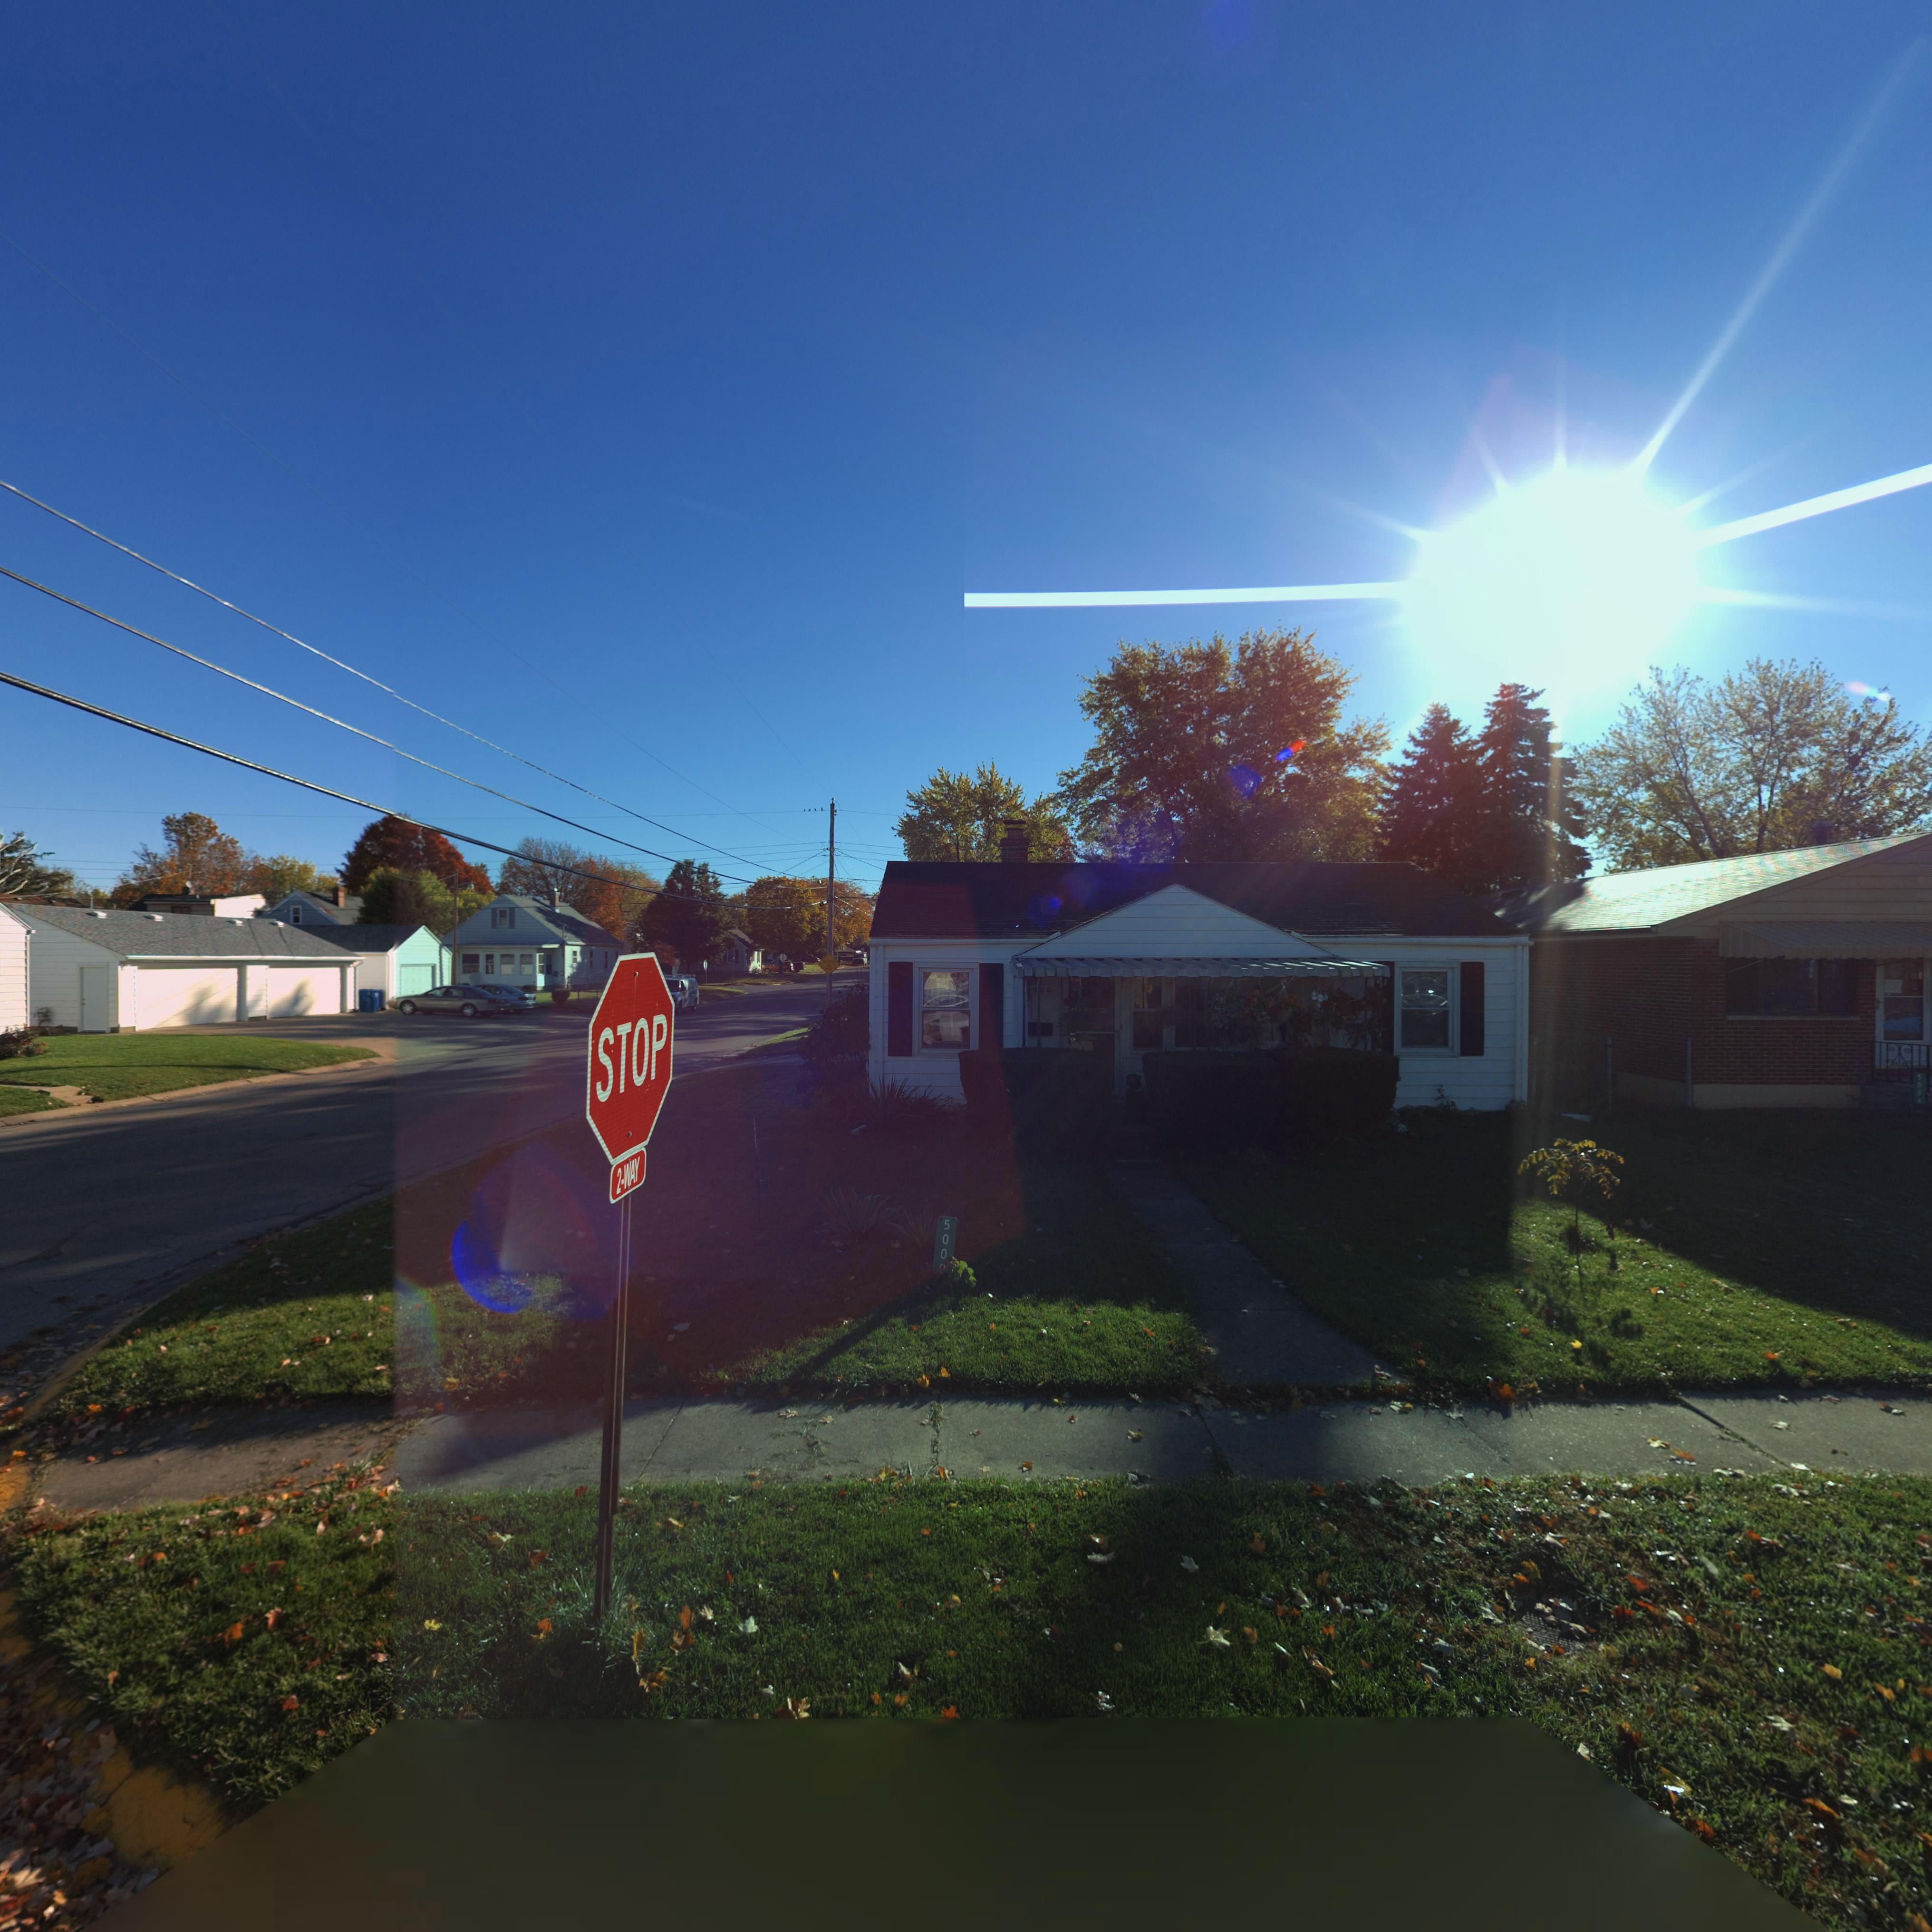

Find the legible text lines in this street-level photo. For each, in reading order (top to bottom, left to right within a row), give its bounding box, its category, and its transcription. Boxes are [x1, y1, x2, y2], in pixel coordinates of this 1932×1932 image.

[1033, 986, 1051, 993] StreetNumber: 000
[937, 1218, 951, 1276] StreetNumber: 500*